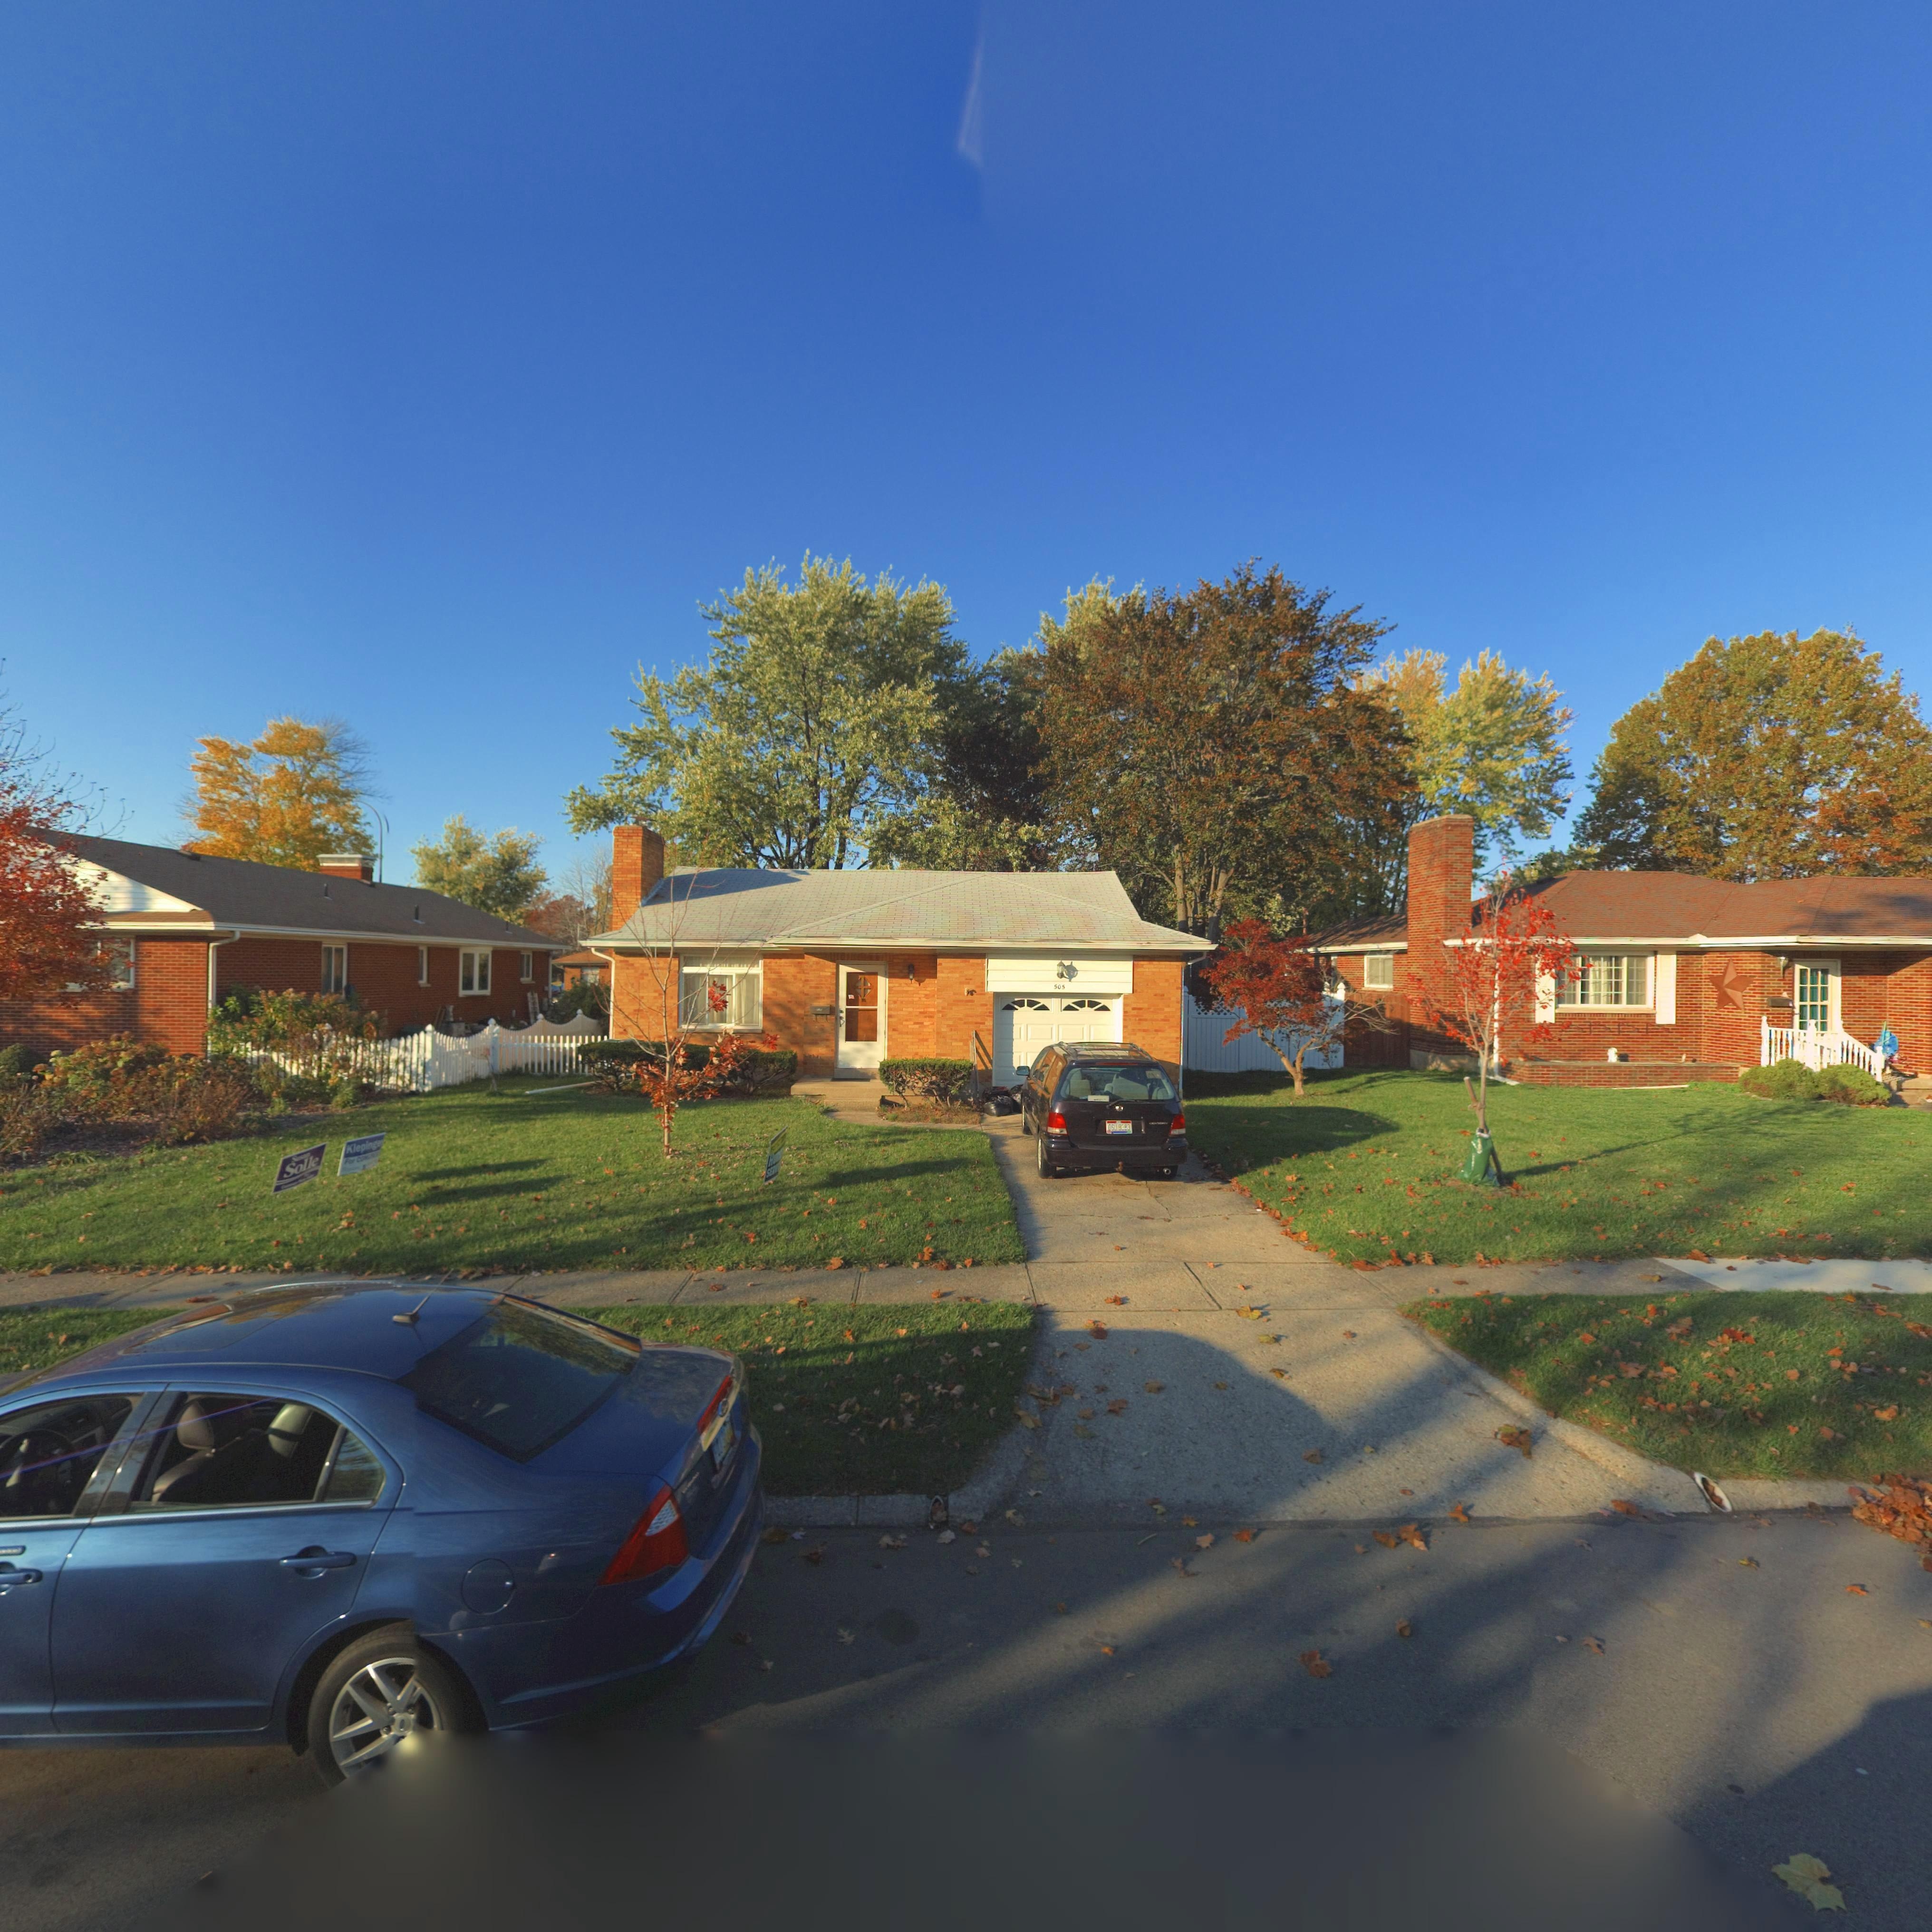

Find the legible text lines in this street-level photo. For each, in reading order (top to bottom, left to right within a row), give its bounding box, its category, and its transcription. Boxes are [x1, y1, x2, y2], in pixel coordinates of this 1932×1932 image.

[1053, 984, 1065, 990] StreetNumber: 505